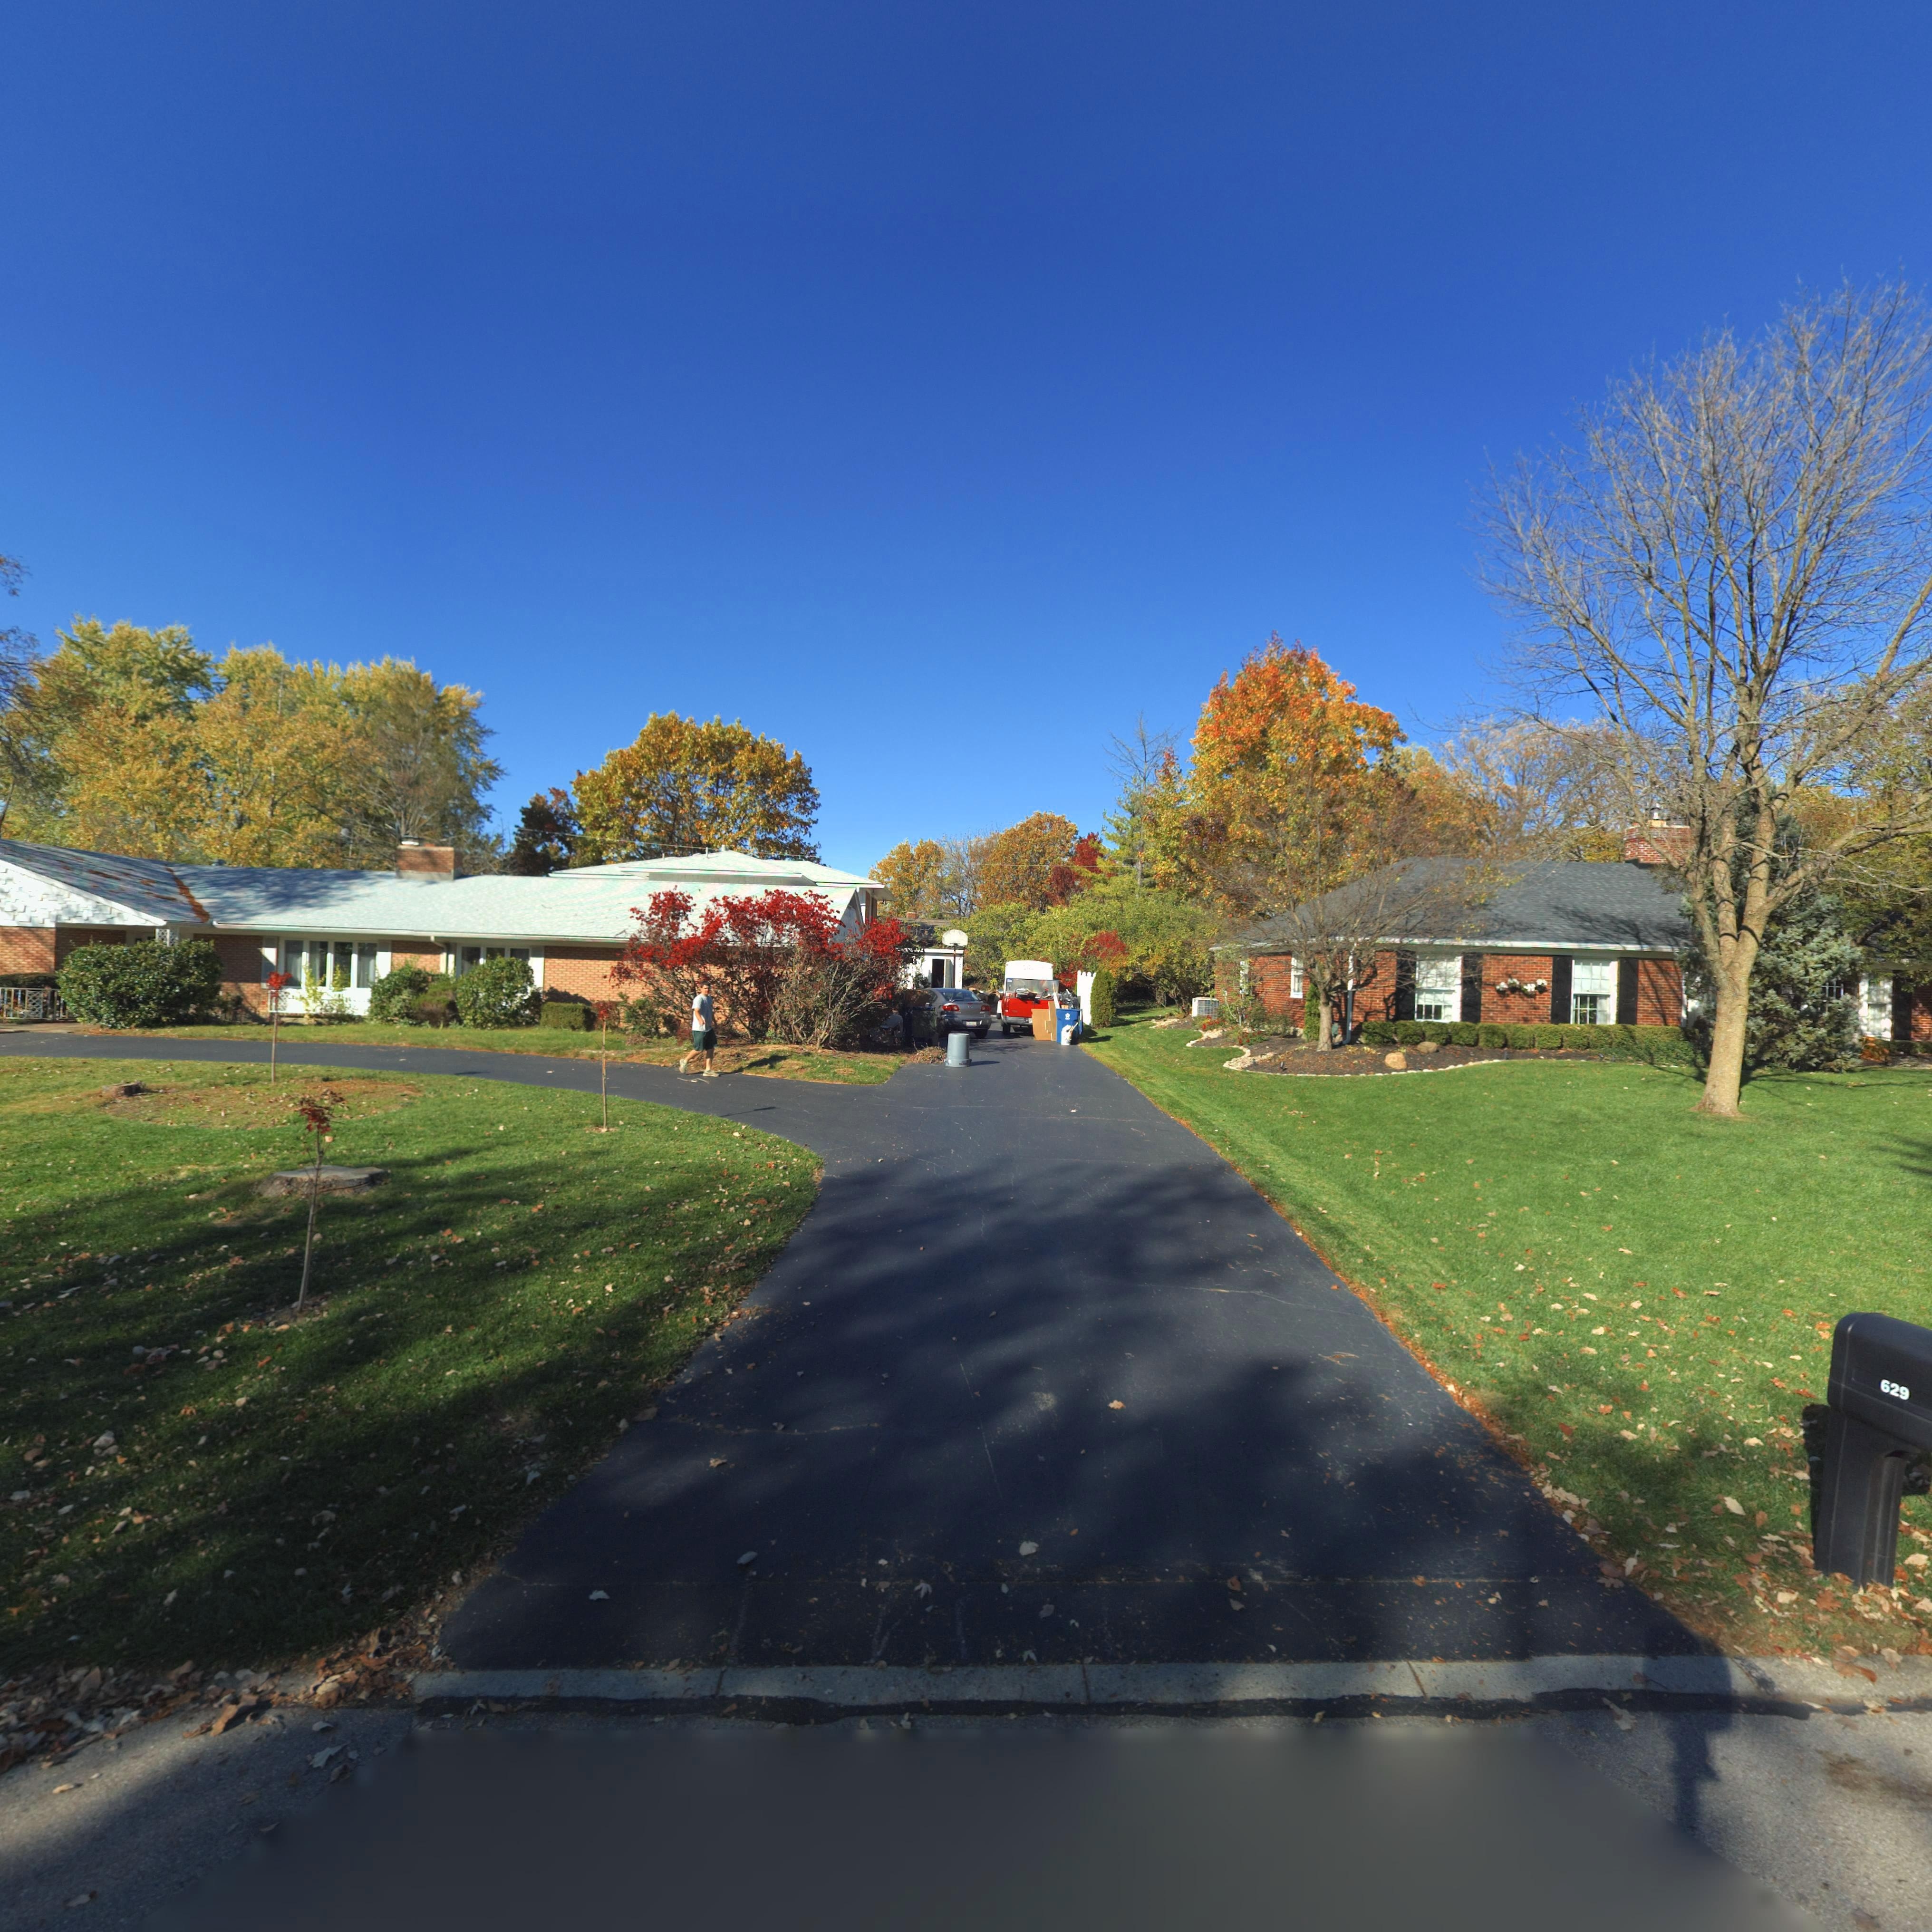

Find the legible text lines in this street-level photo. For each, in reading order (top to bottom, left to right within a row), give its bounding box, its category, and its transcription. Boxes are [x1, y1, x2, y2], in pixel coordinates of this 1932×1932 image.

[1878, 1376, 1913, 1403] StreetNumber: 629